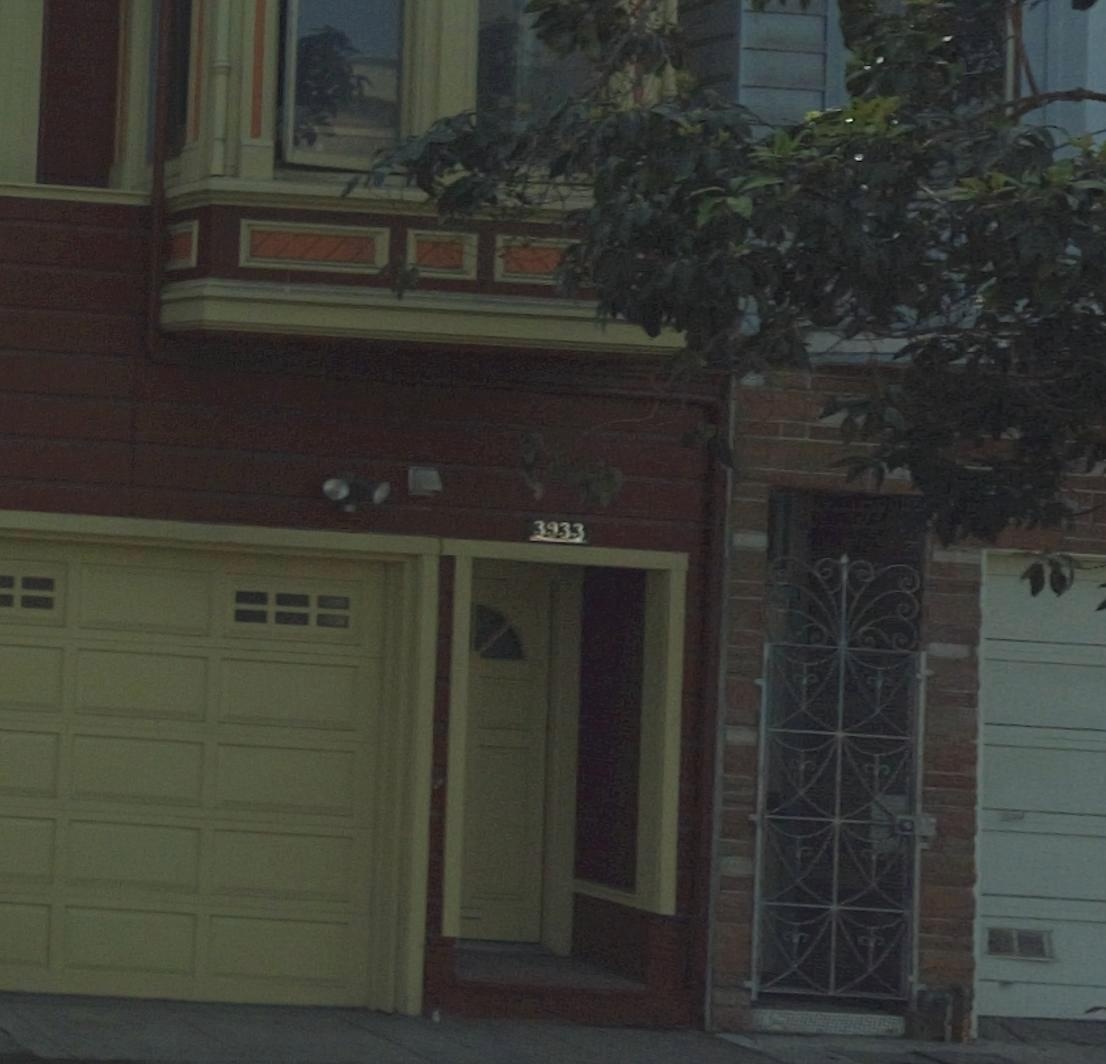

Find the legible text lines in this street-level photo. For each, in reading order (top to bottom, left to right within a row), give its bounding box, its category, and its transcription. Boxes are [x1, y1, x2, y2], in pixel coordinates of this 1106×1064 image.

[532, 519, 587, 541] StreetNumber: 3933